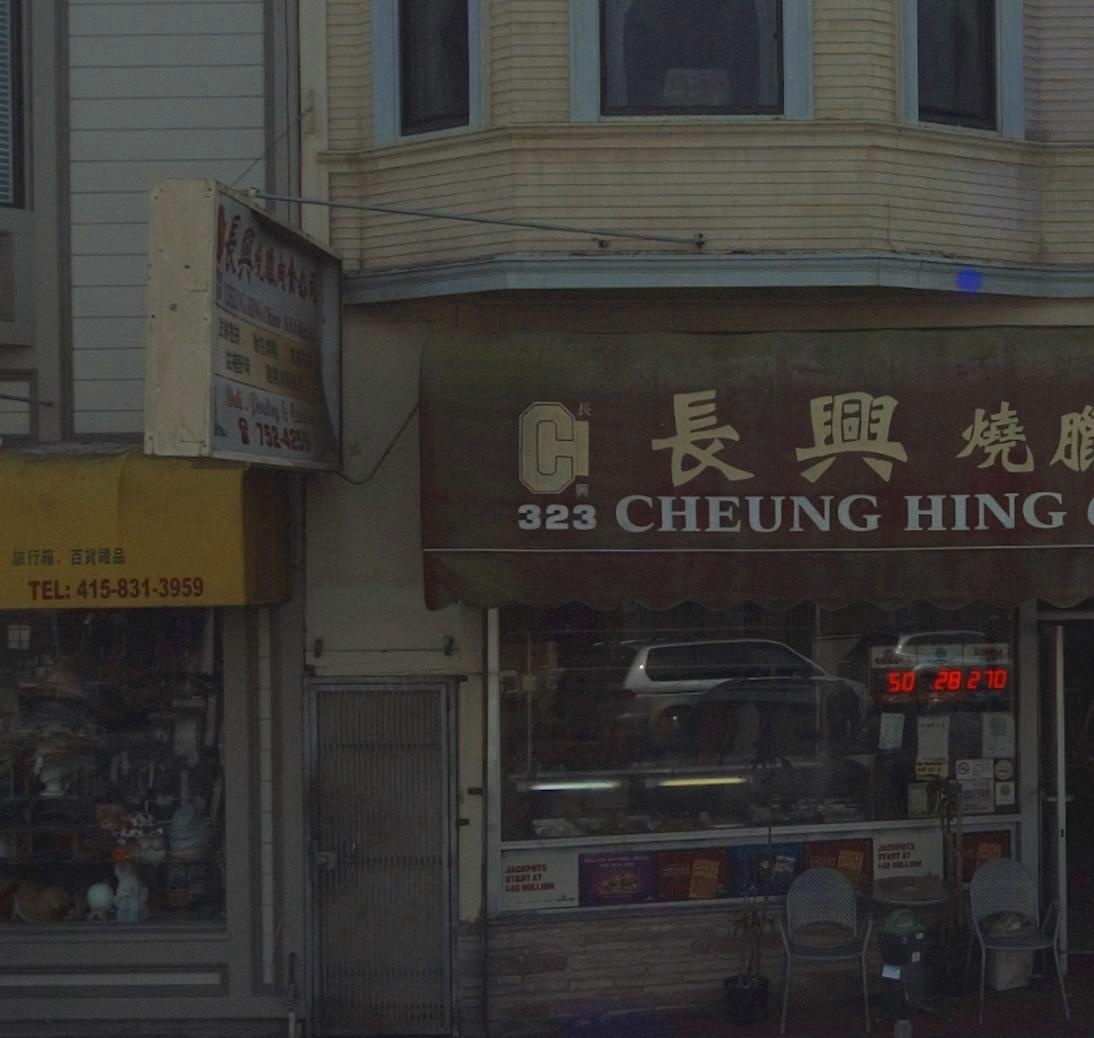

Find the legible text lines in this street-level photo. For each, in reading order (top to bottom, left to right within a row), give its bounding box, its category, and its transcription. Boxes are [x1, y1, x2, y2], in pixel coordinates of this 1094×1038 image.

[254, 421, 312, 454] None: 752-4259
[519, 401, 577, 495] None: C
[517, 503, 598, 531] StreetNumber: 323
[613, 491, 1069, 534] BusinessName: CHEUNG HING
[27, 576, 204, 601] None: TEL: 415-831-3959
[886, 672, 917, 693] None: 50
[933, 669, 963, 691] None: 28
[965, 669, 1010, 690] None: 2 70
[876, 851, 911, 862] None: START AT
[877, 841, 916, 852] None: JACKPOTS
[504, 873, 543, 884] None: START AT
[505, 864, 548, 874] None: JACKPOTS
[521, 881, 555, 893] None: MILLION